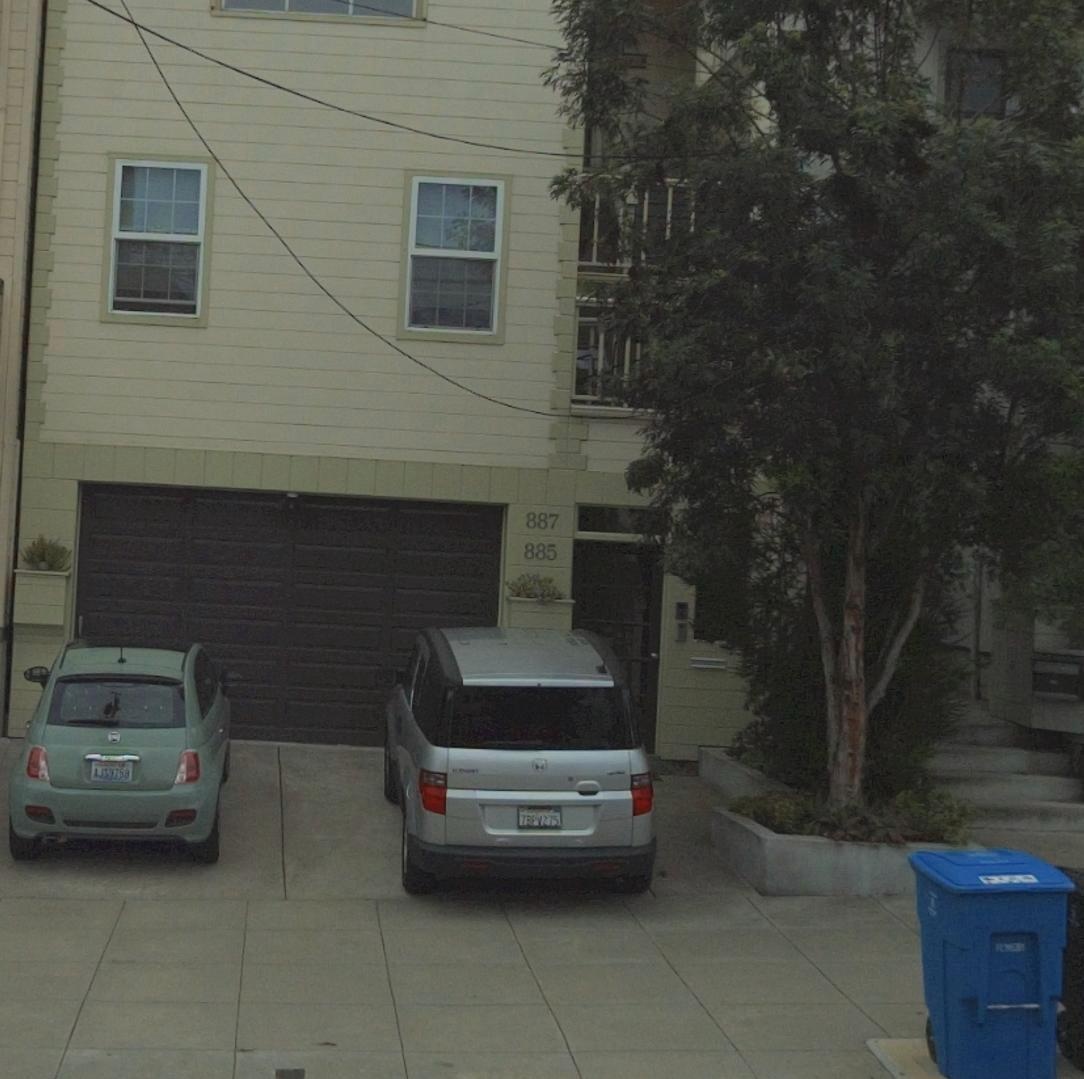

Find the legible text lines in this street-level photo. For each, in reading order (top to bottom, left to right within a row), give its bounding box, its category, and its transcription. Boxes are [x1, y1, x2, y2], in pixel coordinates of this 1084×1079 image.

[524, 511, 561, 531] StreetNumber: 887
[523, 542, 557, 562] StreetNumber: 885
[93, 767, 131, 779] None: AJ*9758
[519, 814, 560, 826] None: 7BPV275